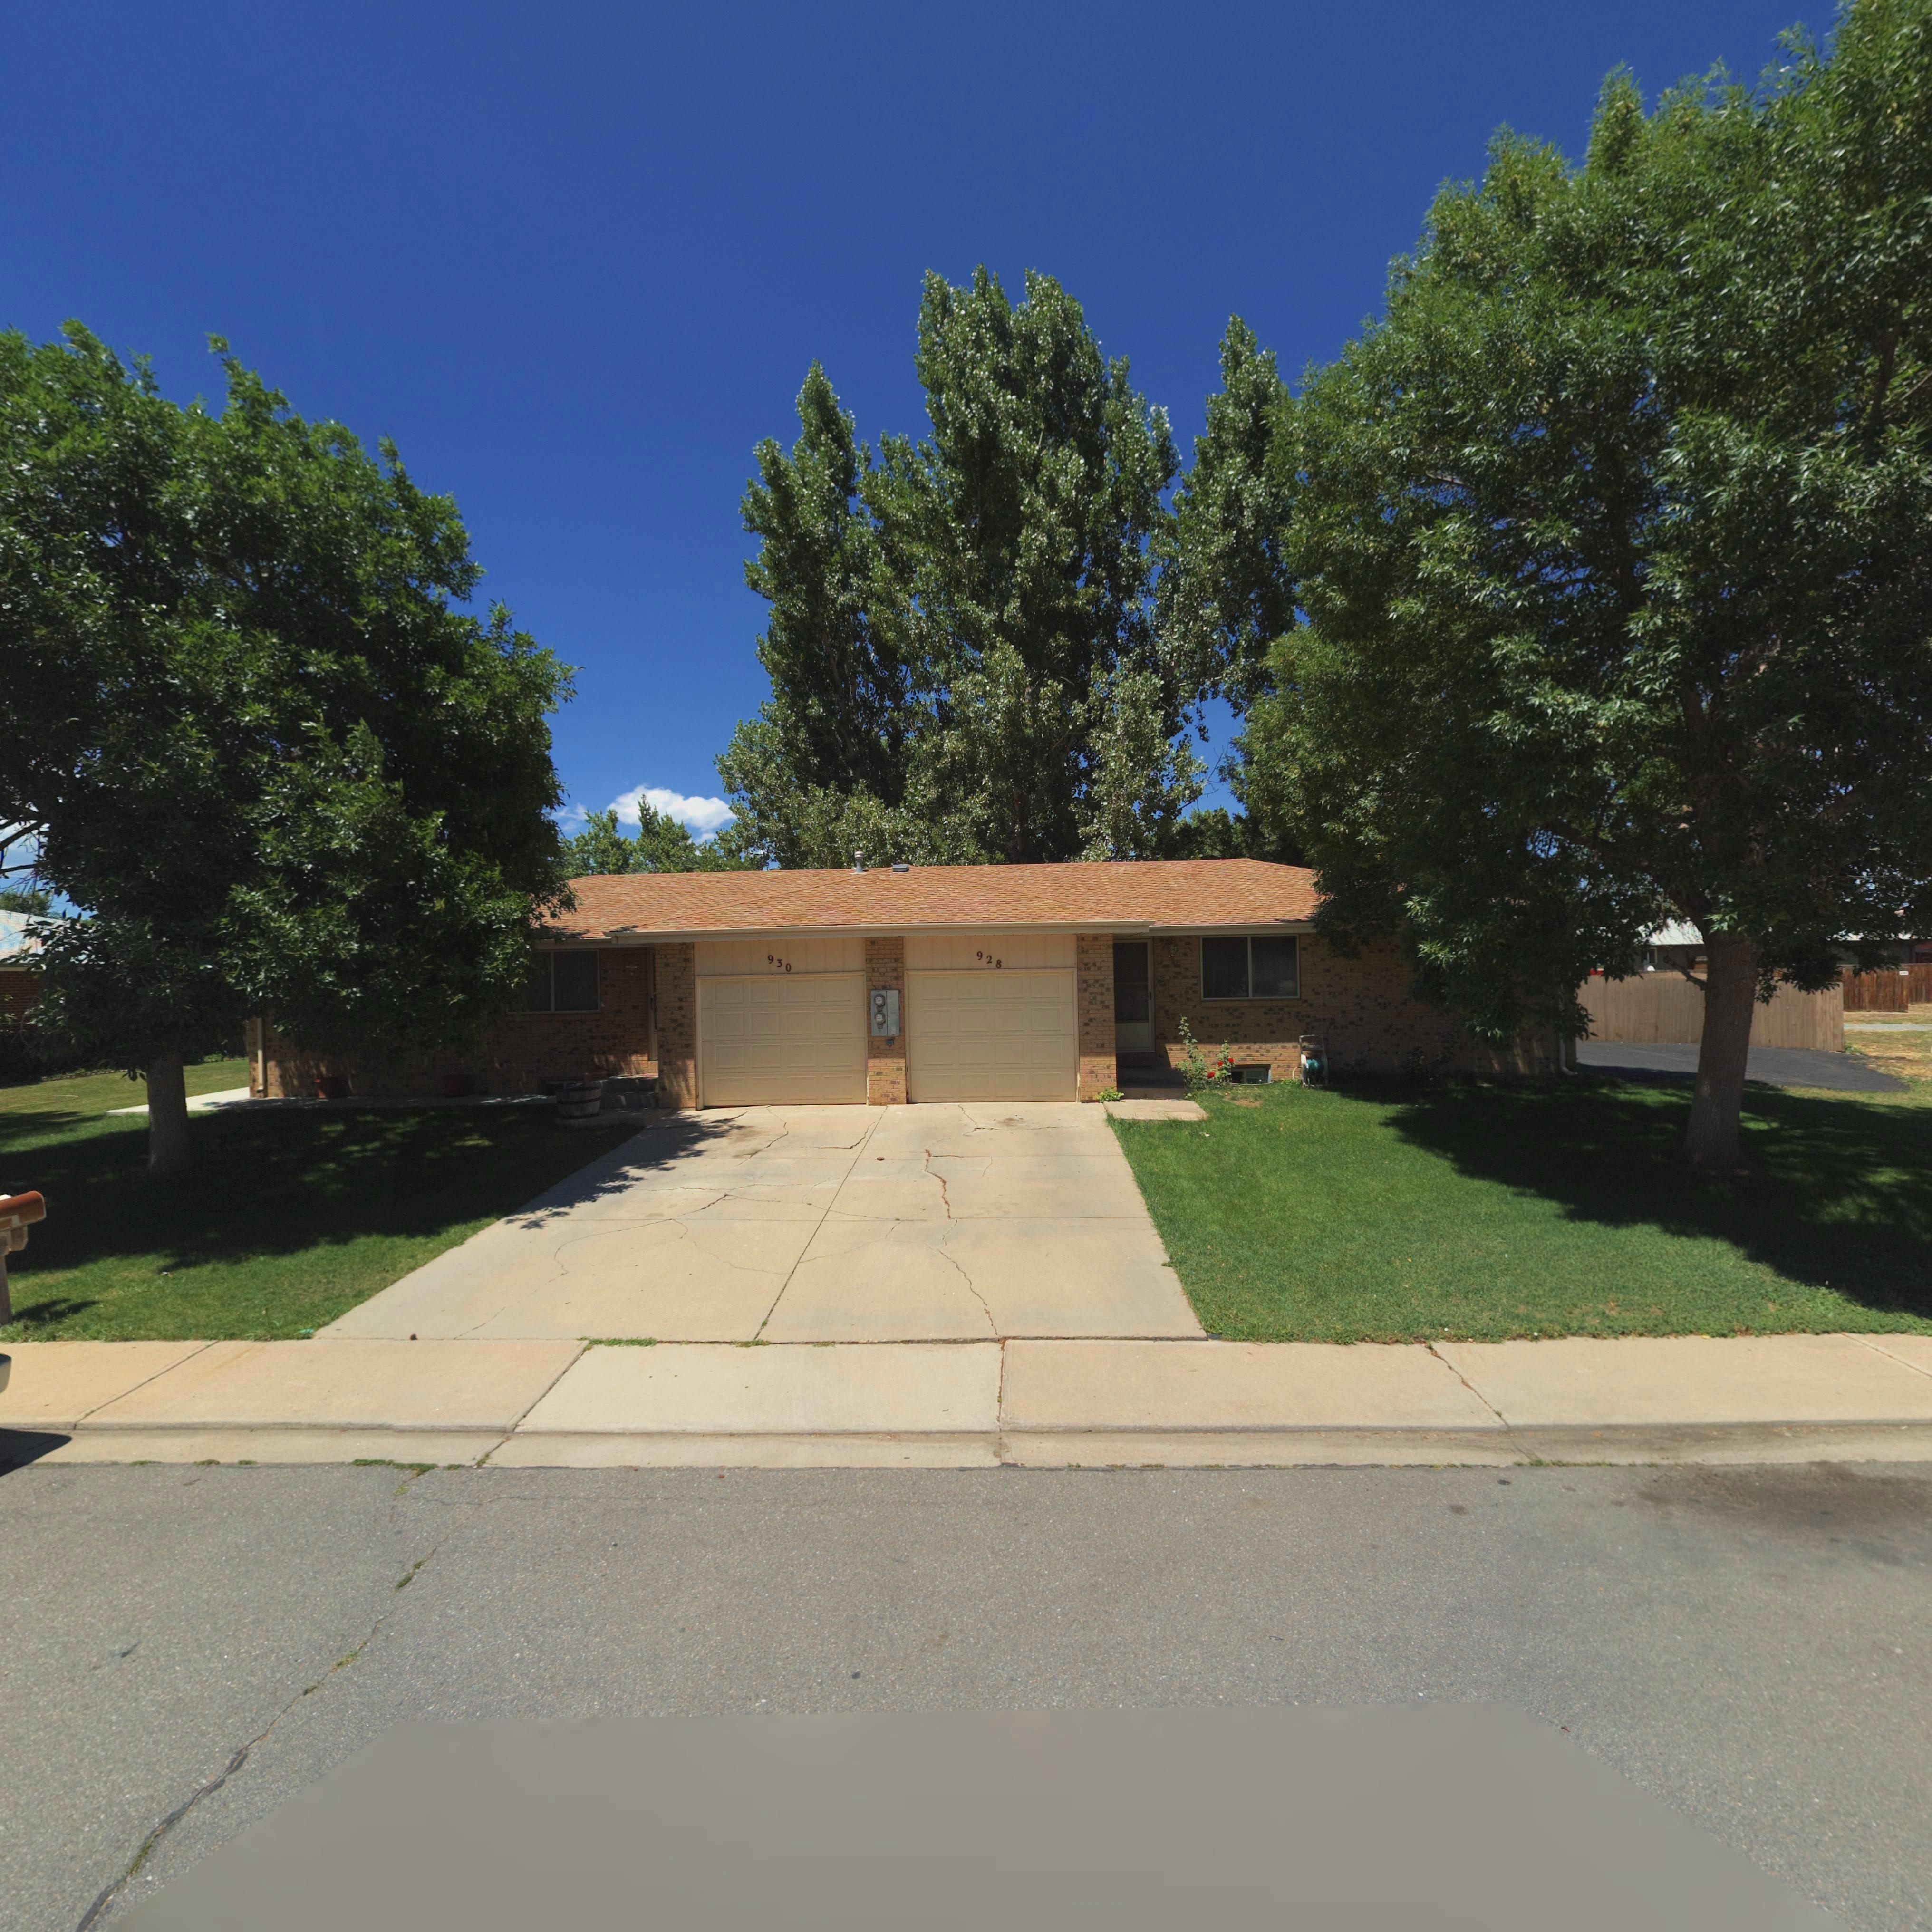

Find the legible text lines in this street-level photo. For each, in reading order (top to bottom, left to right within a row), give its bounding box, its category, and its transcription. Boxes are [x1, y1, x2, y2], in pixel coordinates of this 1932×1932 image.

[767, 954, 792, 973] StreetNumber: 930
[976, 951, 1002, 968] StreetNumber: 928